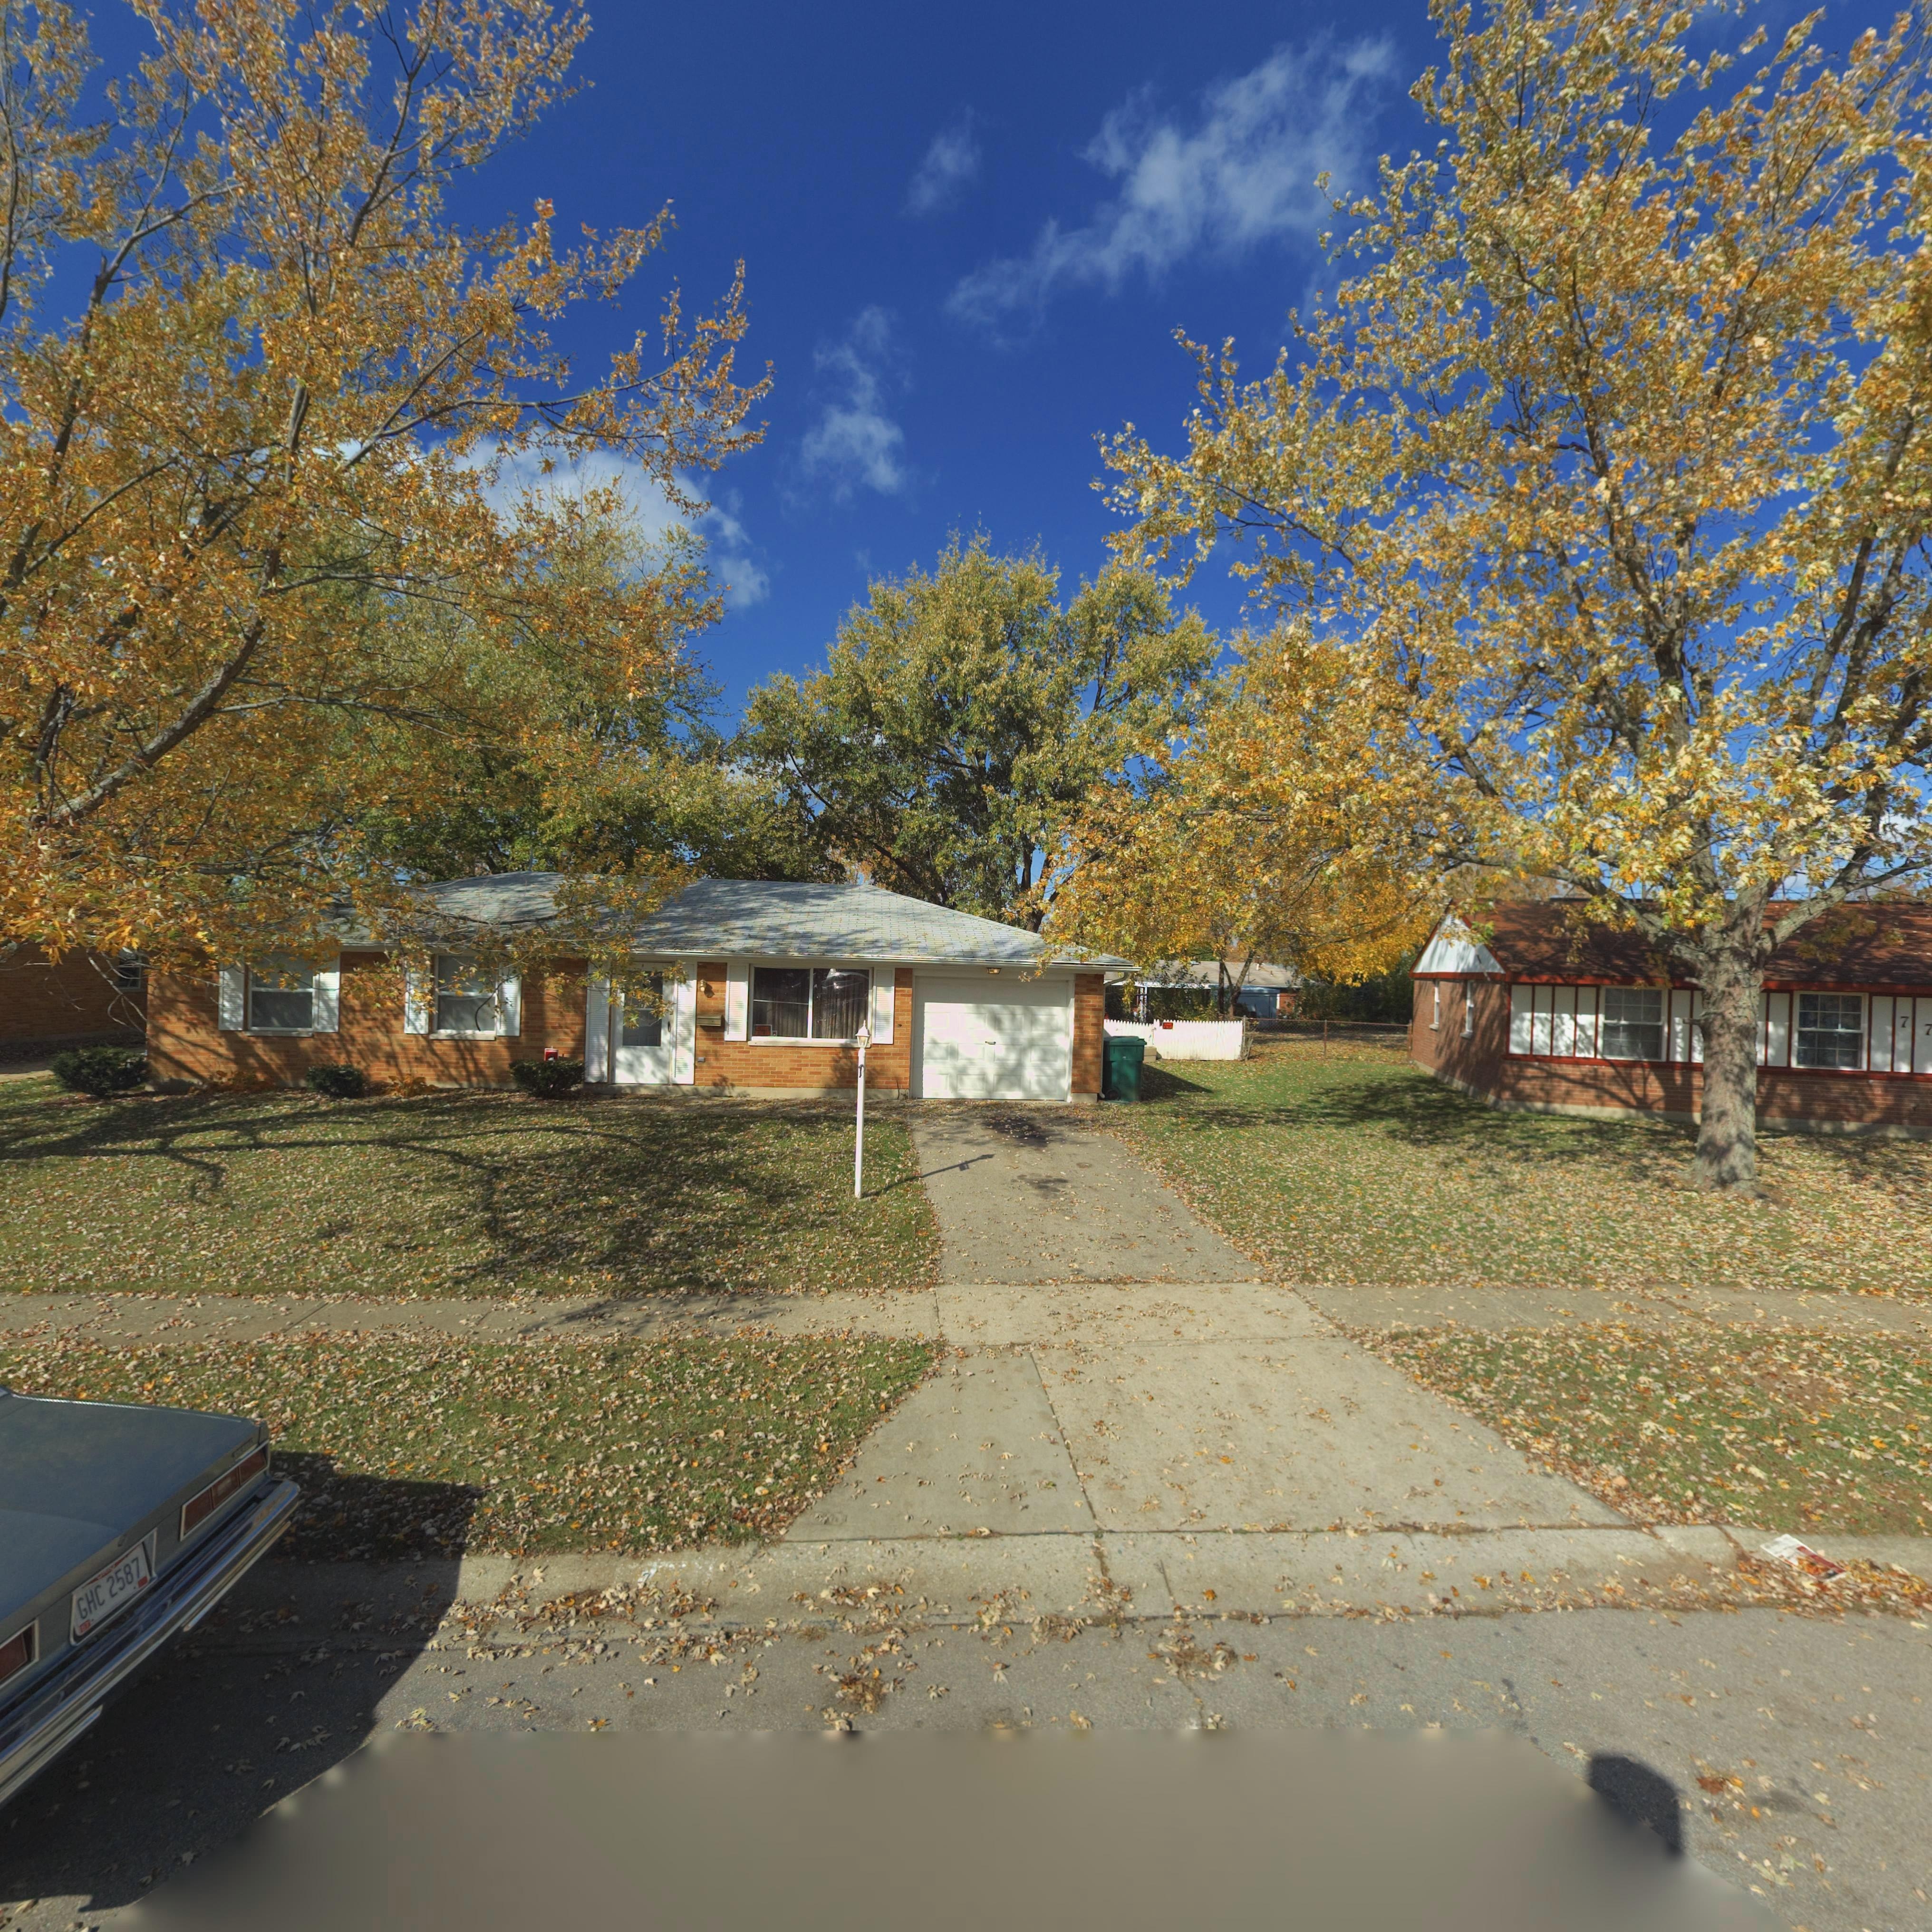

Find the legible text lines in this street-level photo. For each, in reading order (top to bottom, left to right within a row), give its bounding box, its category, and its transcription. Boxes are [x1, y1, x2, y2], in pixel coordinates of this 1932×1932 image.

[1900, 1015, 1932, 1036] StreetNumber: 77